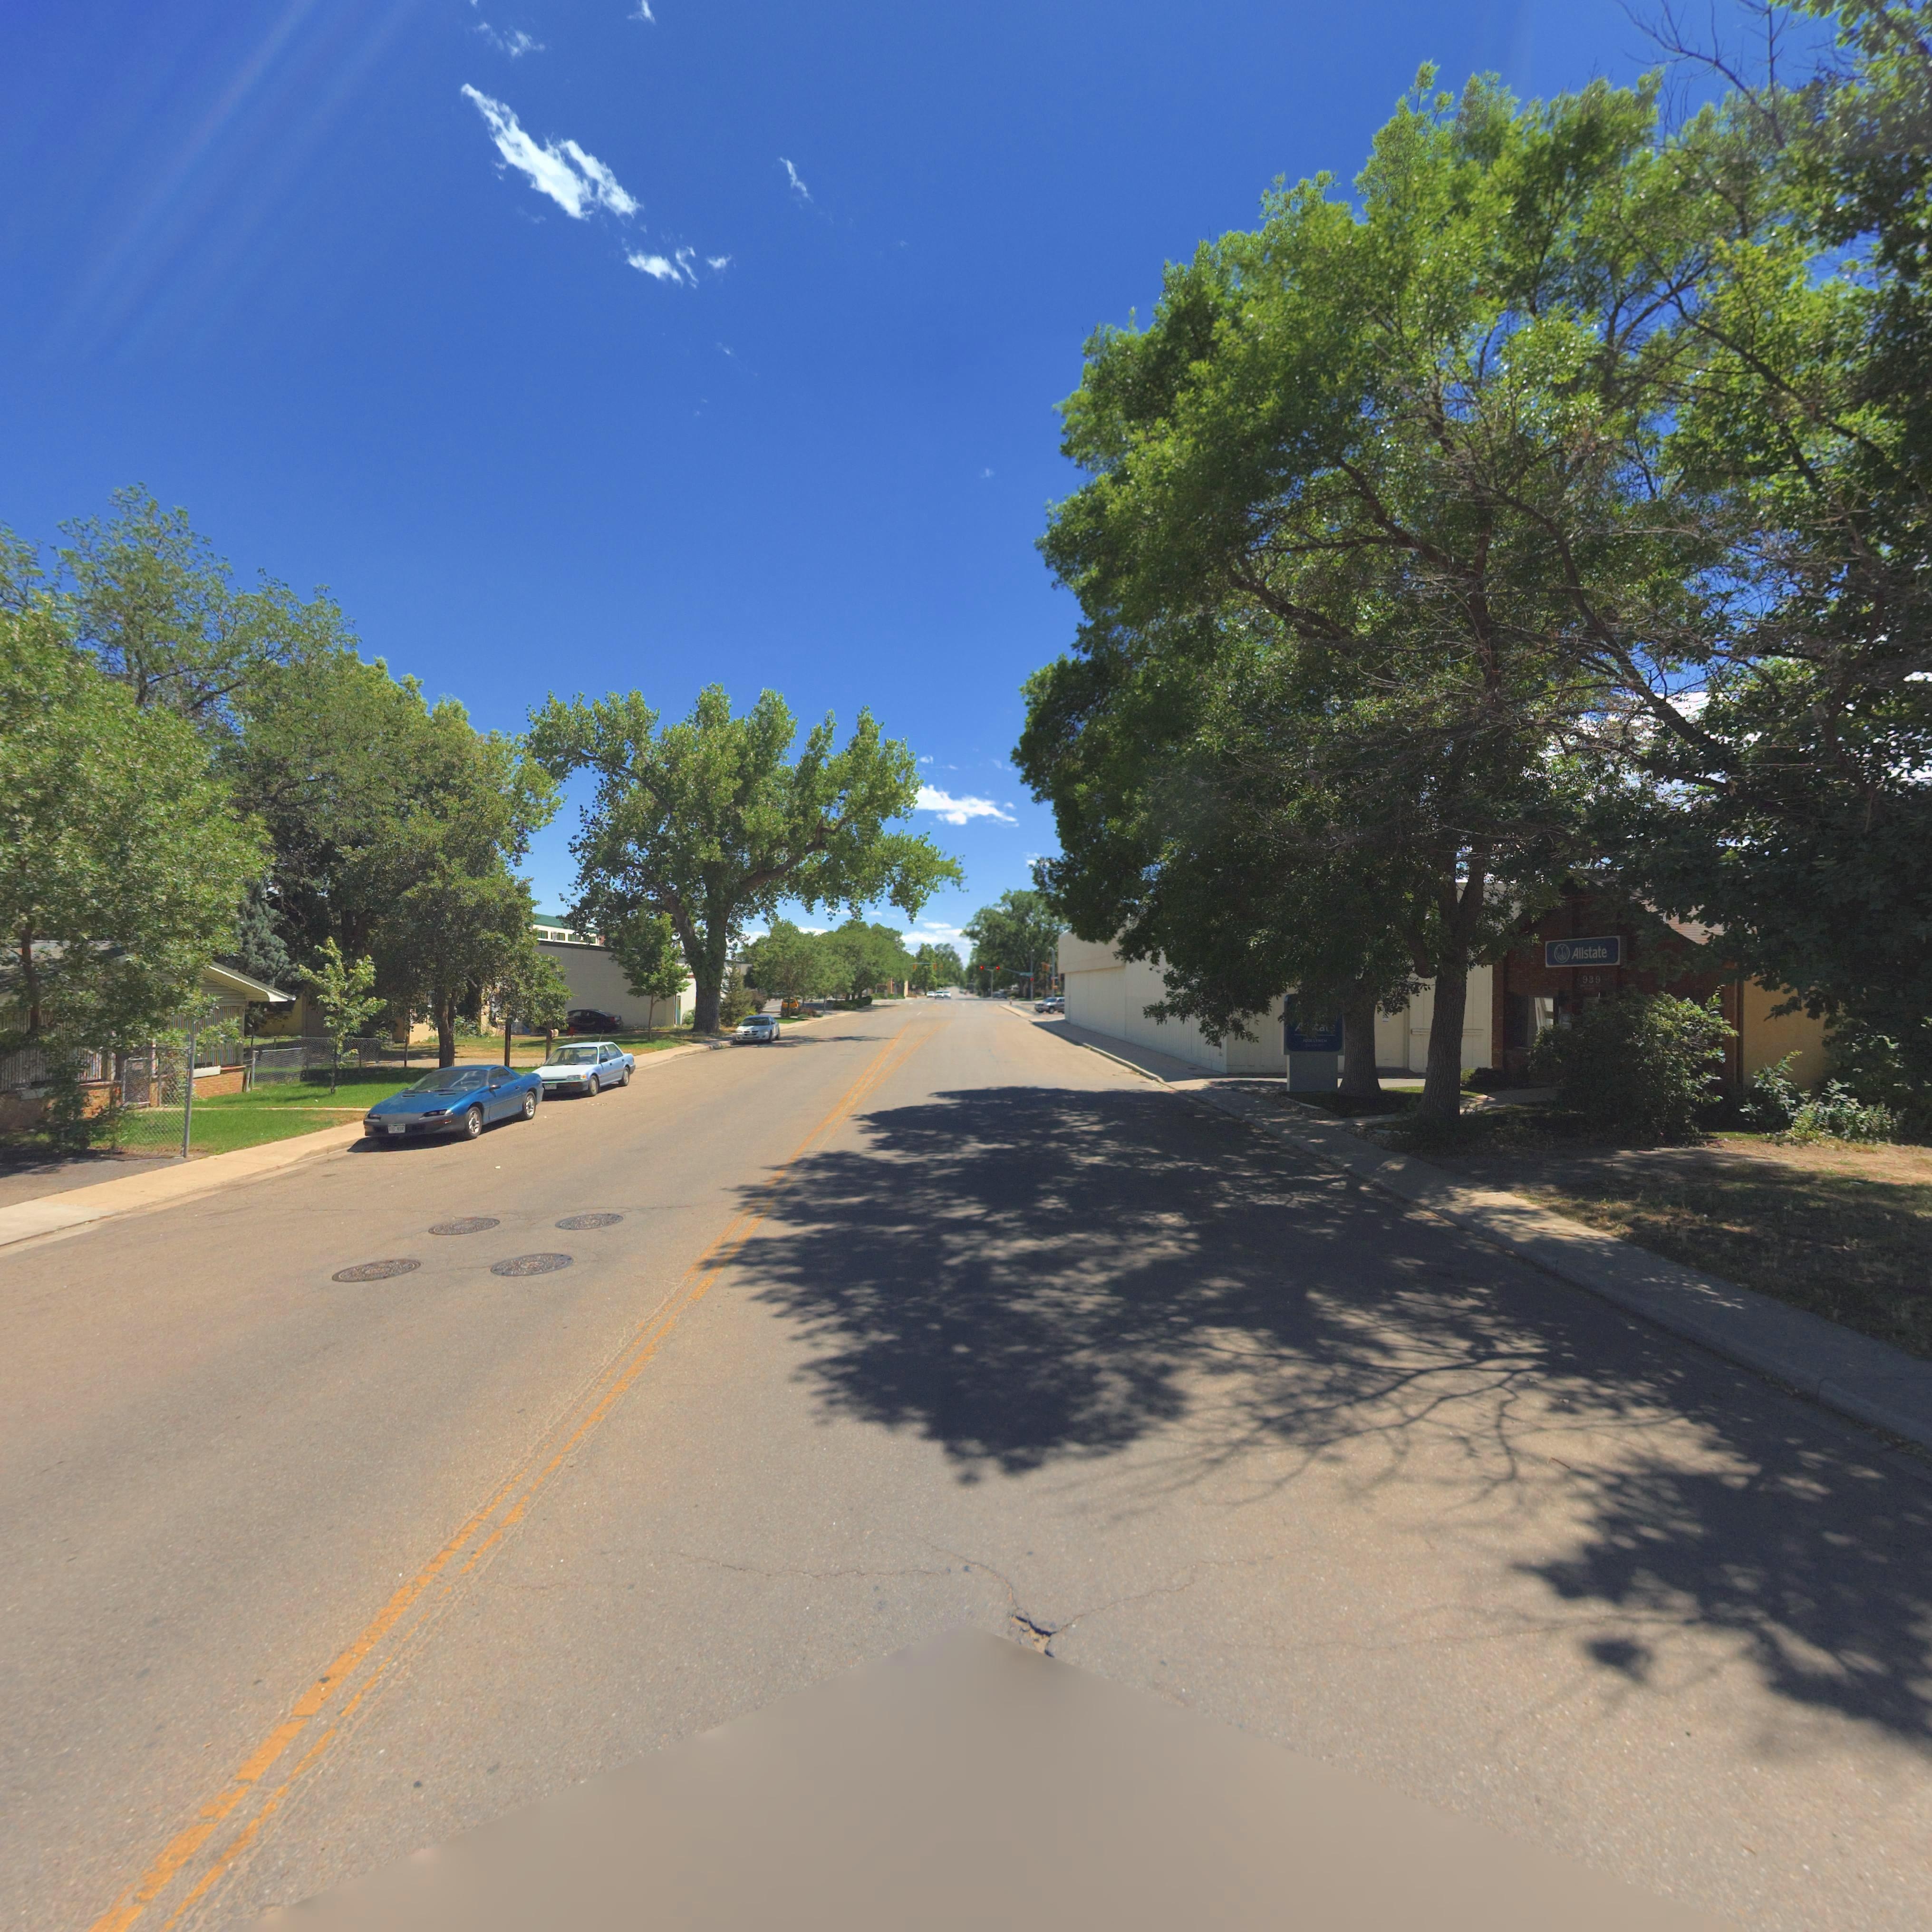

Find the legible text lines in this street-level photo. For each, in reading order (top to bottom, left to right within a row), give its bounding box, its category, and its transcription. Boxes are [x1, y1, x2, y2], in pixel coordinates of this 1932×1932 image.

[1571, 946, 1607, 959] BusinessName: Allstate
[1582, 975, 1601, 984] StreetNumber: 939
[1294, 1021, 1335, 1032] BusinessName: *****a**
[1302, 1038, 1327, 1043] BusinessName: JODI LYNCH